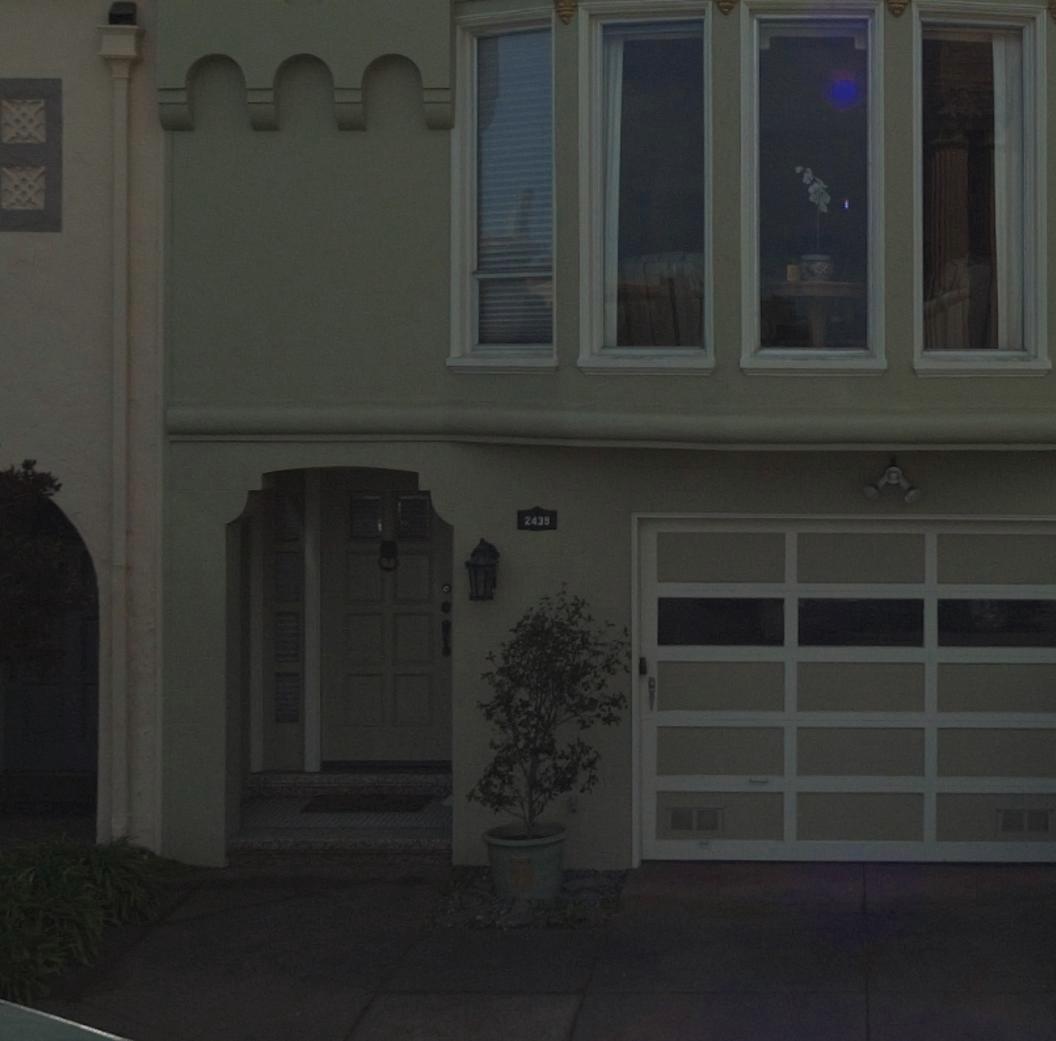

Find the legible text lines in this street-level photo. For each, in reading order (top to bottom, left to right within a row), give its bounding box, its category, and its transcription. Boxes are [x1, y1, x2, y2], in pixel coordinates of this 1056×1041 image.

[521, 513, 553, 528] StreetNumber: 2439